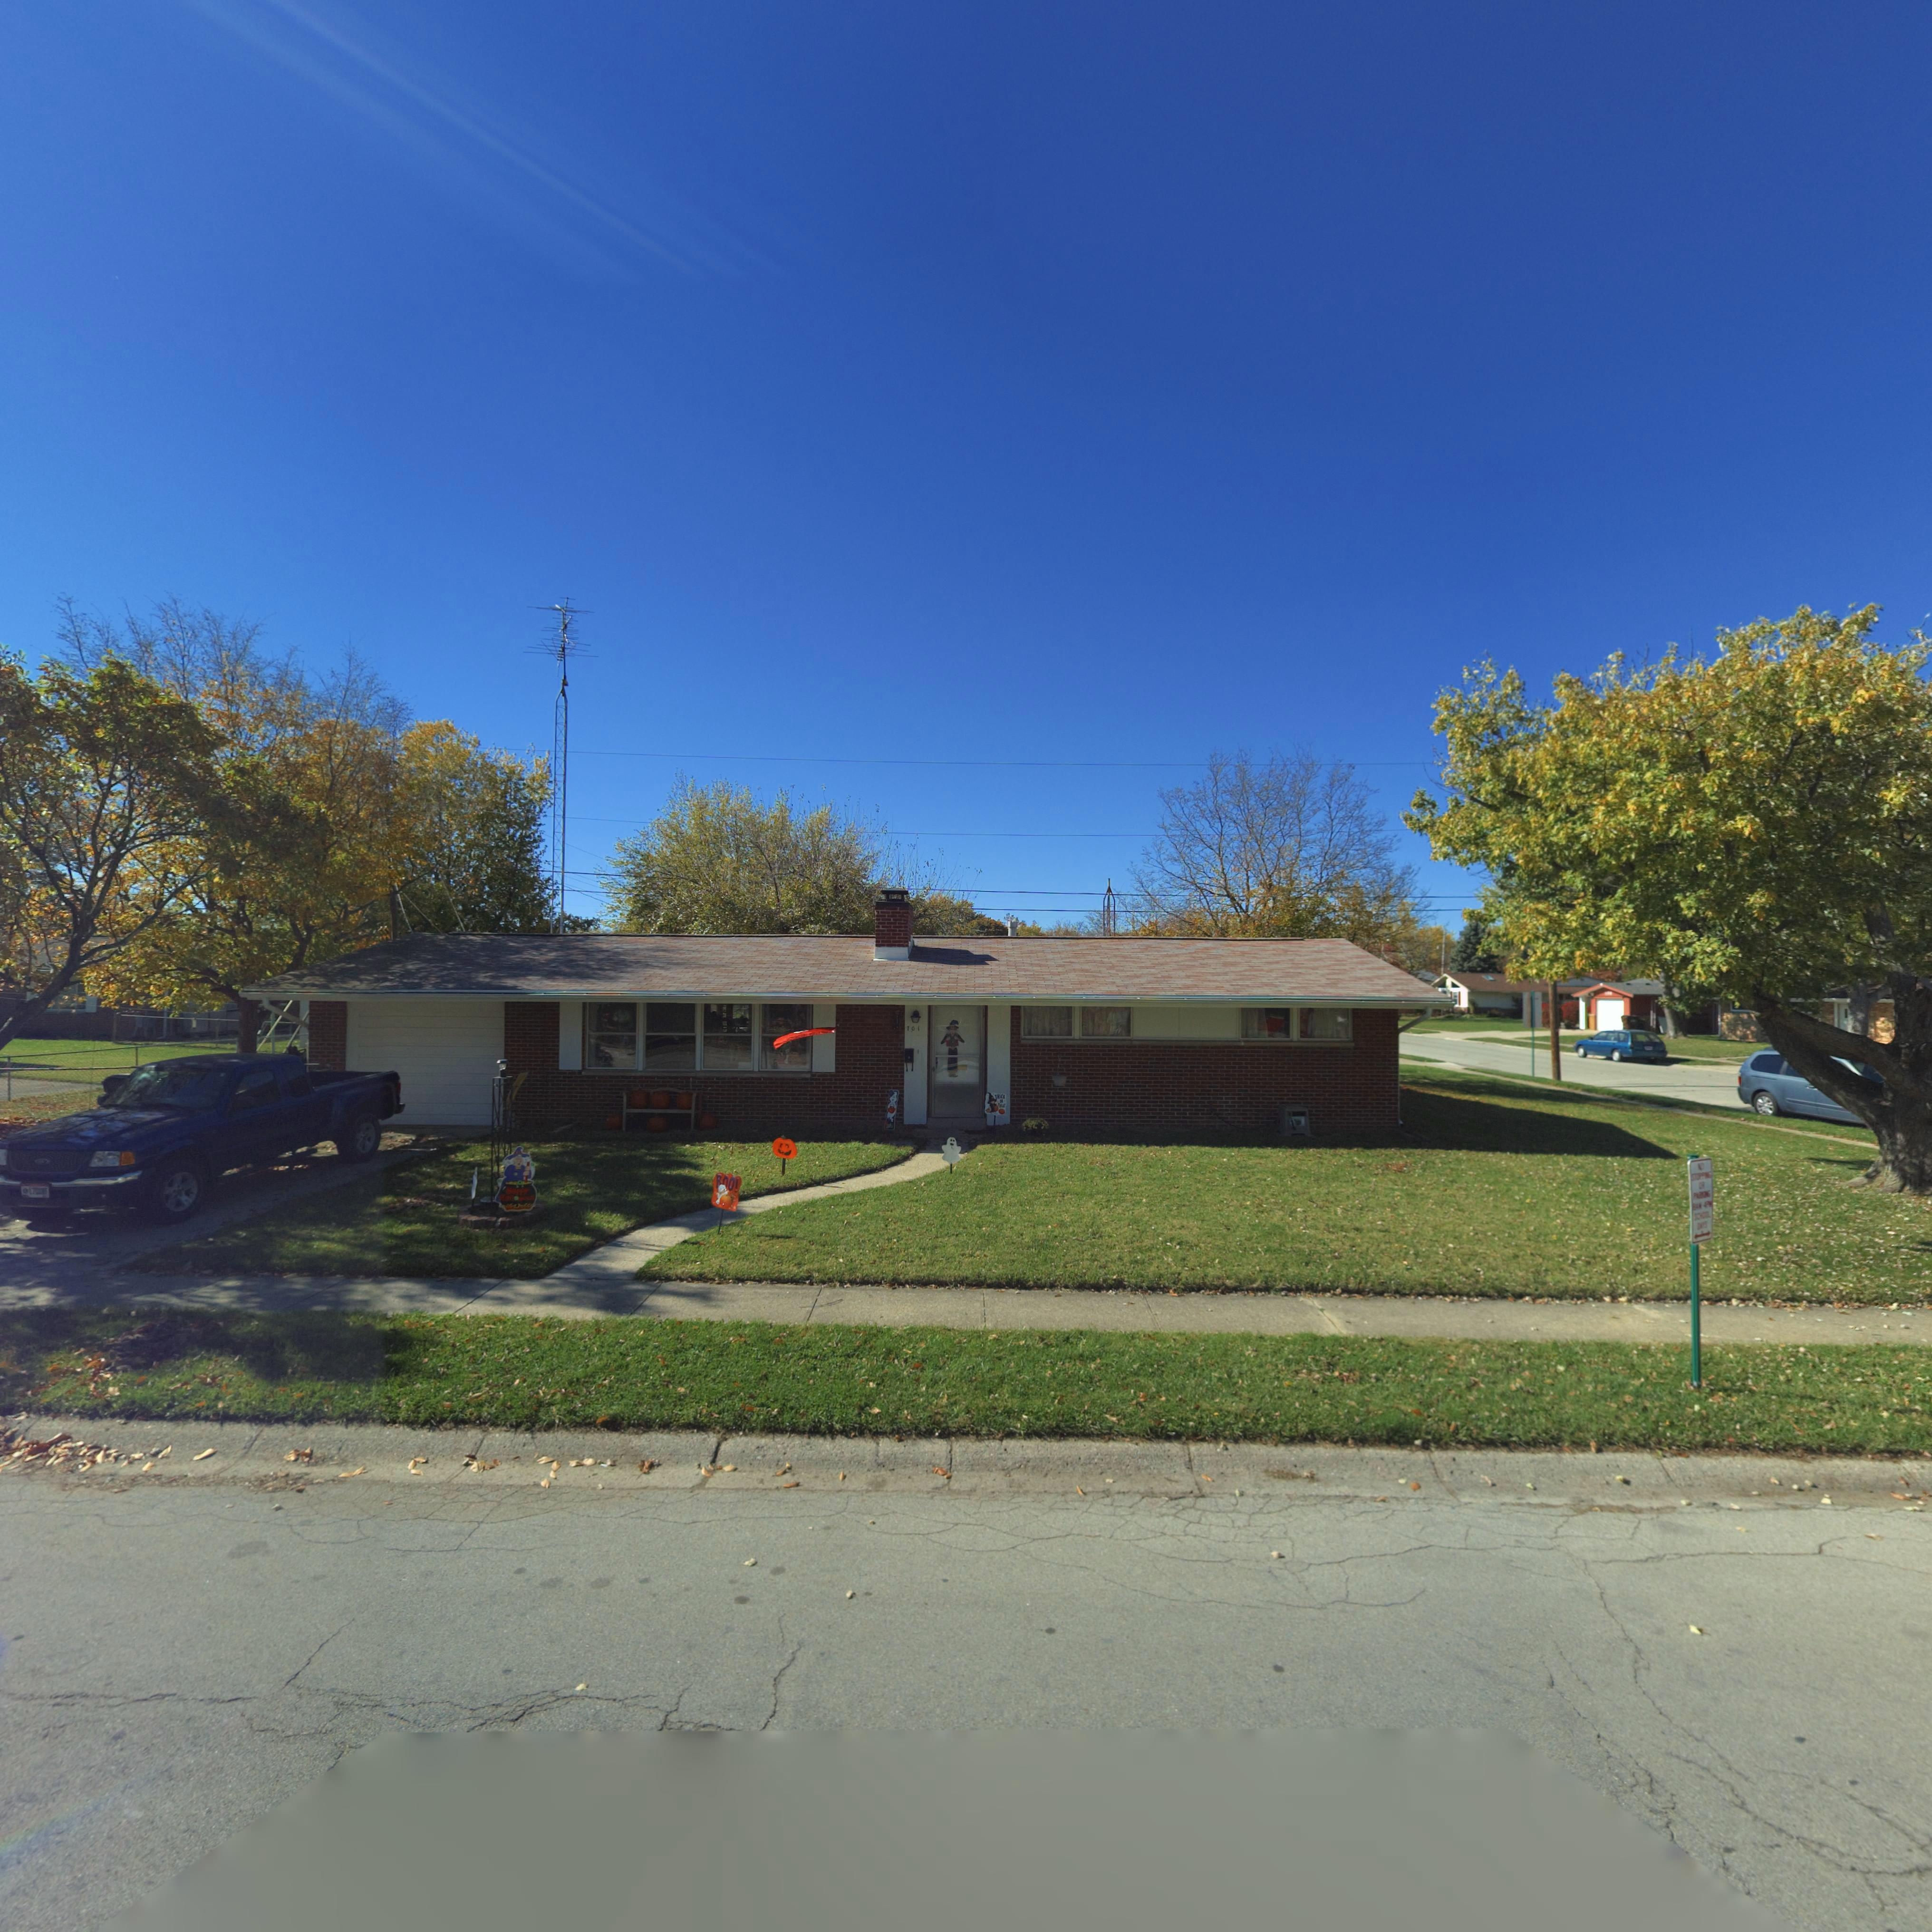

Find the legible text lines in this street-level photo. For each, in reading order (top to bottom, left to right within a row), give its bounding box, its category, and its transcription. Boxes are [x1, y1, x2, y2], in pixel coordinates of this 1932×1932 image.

[905, 1024, 921, 1032] StreetNumber: 701
[994, 1093, 1005, 1100] None: TRICK
[1696, 1161, 1706, 1172] None: NO
[1690, 1170, 1713, 1182] None: STOPPING
[727, 1175, 736, 1191] None: O
[1698, 1180, 1706, 1190] None: OR
[29, 1187, 36, 1195] None: 17
[505, 1186, 531, 1196] None: HAPPY
[1692, 1189, 1711, 1200] None: PARKING
[1691, 1199, 1713, 1211] None: 8AM 4PM
[1693, 1210, 1711, 1221] None: SCHOOL
[1696, 1220, 1708, 1231] None: DAYS